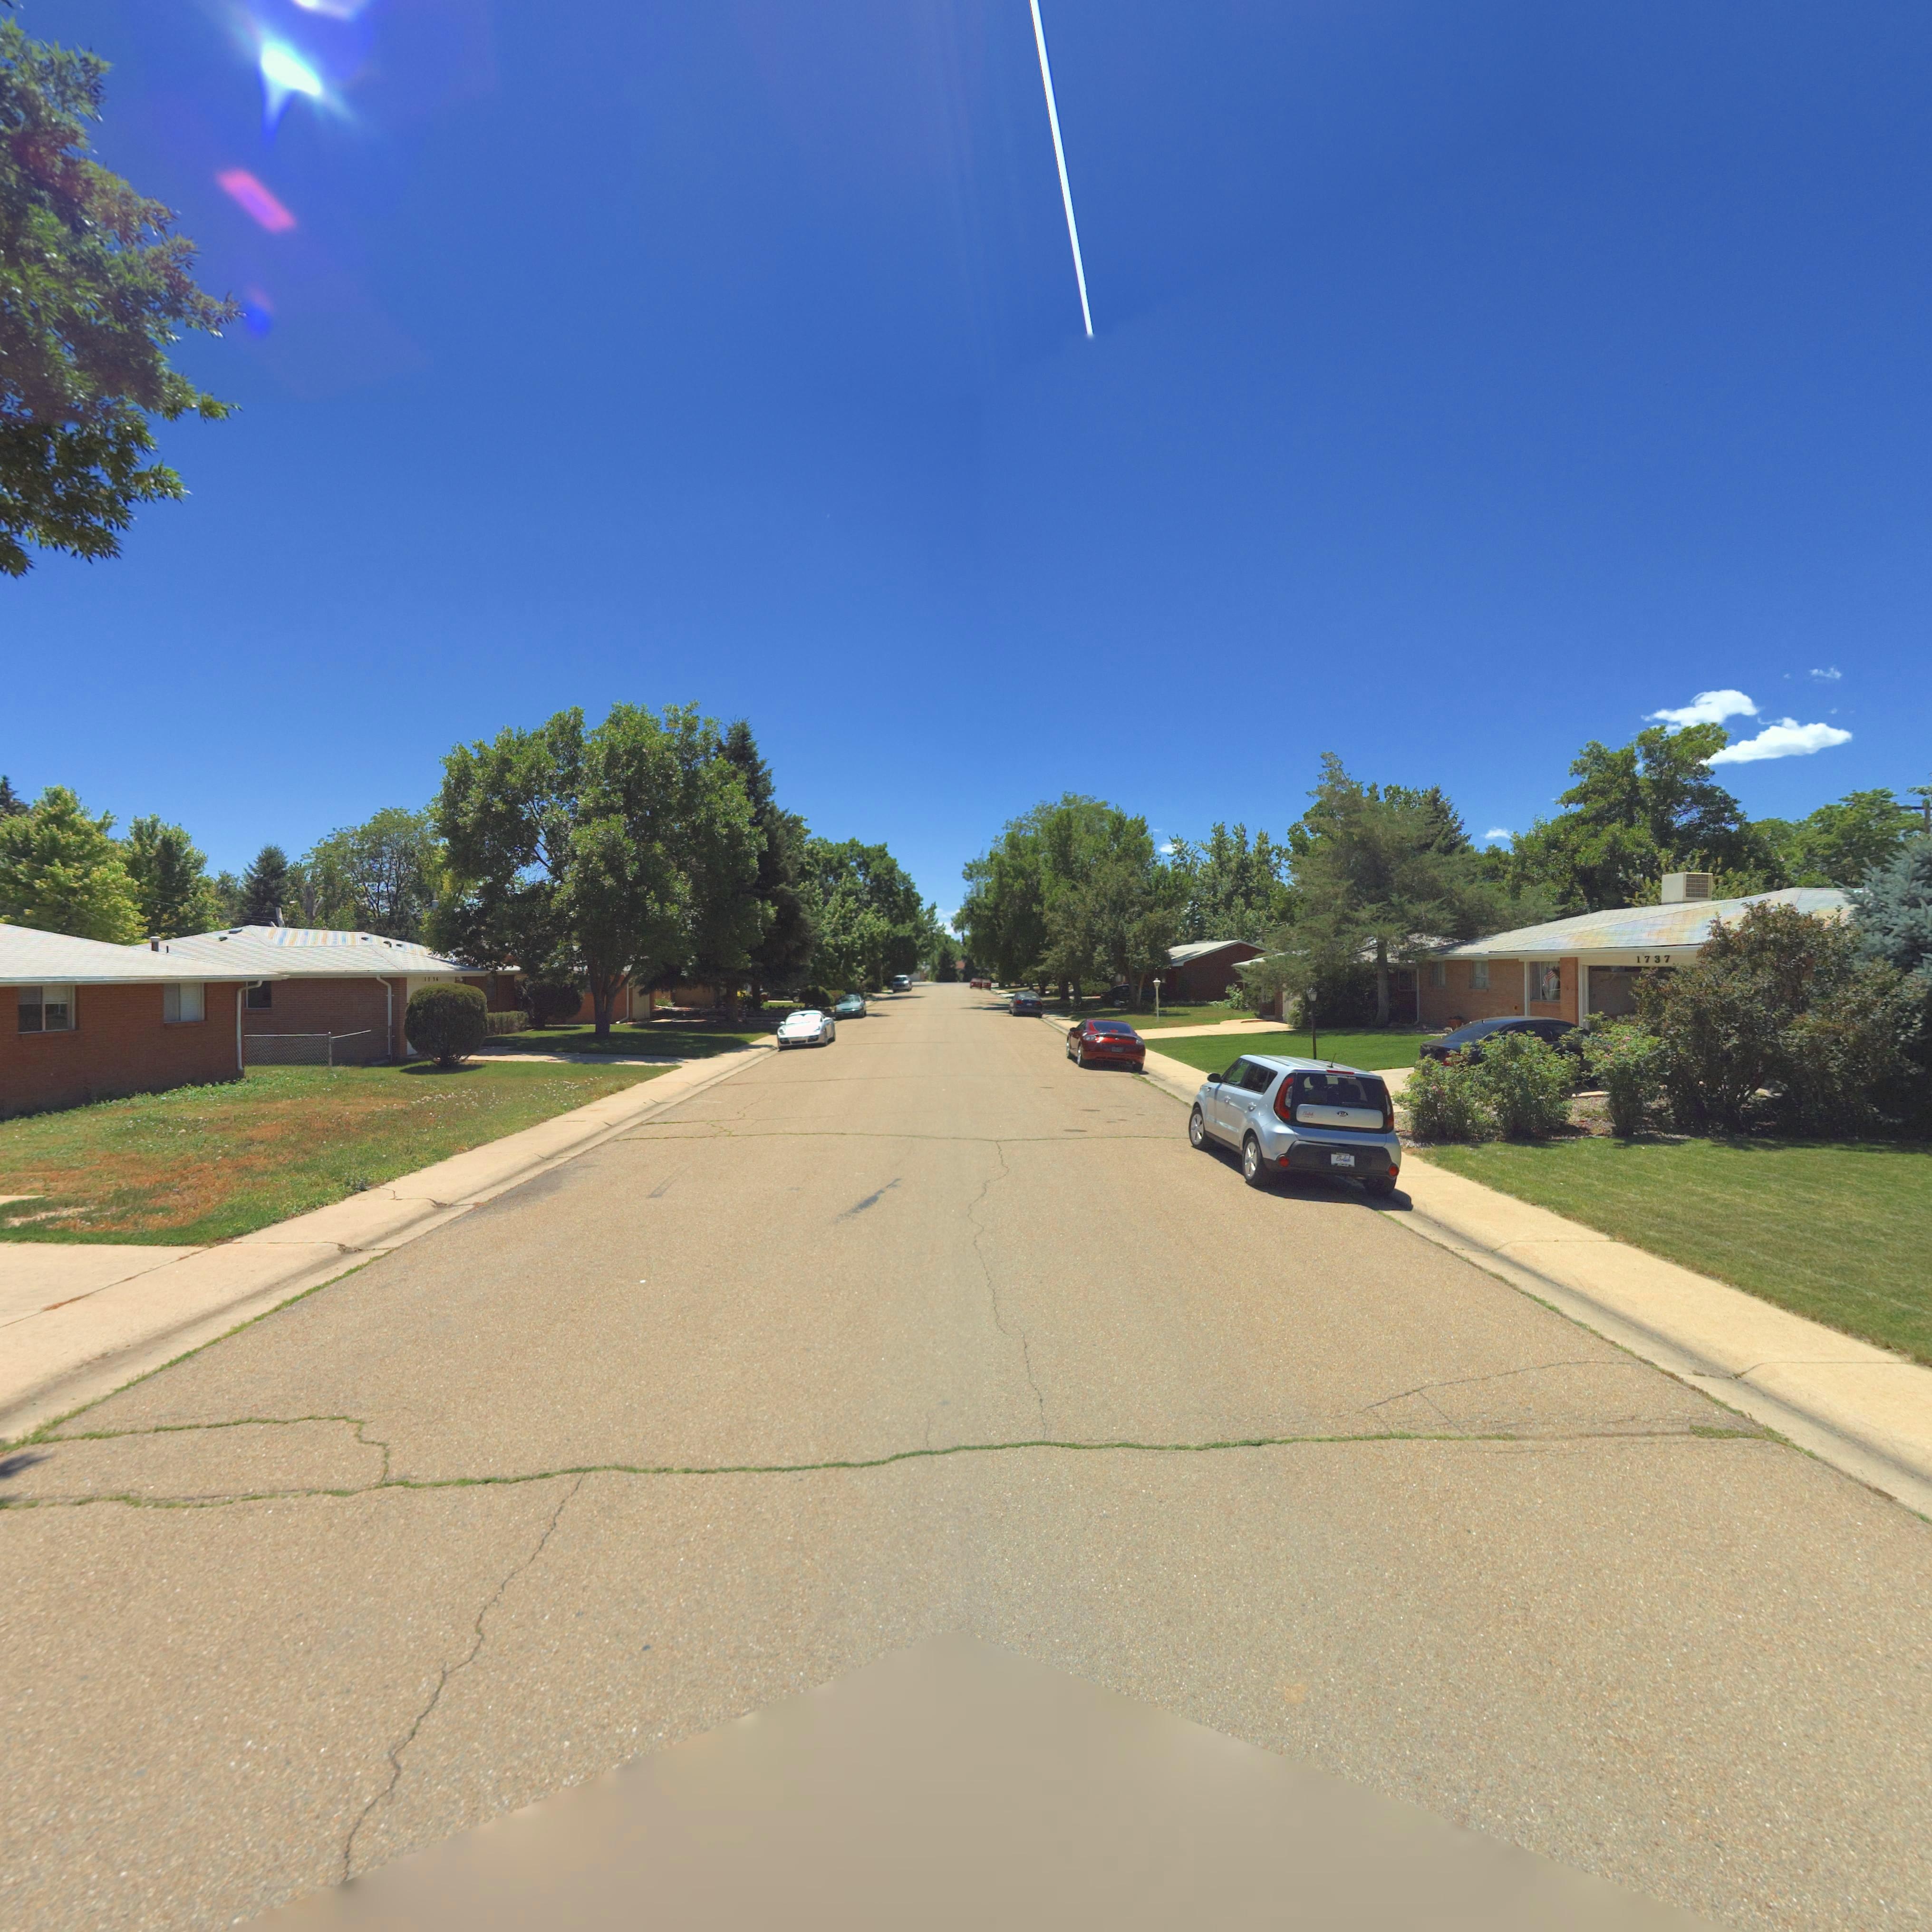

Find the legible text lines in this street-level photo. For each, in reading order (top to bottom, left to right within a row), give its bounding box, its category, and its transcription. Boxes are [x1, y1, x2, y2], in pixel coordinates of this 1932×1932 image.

[1636, 955, 1671, 963] StreetNumber: 1737
[424, 976, 438, 982] StreetNumber: 1**6